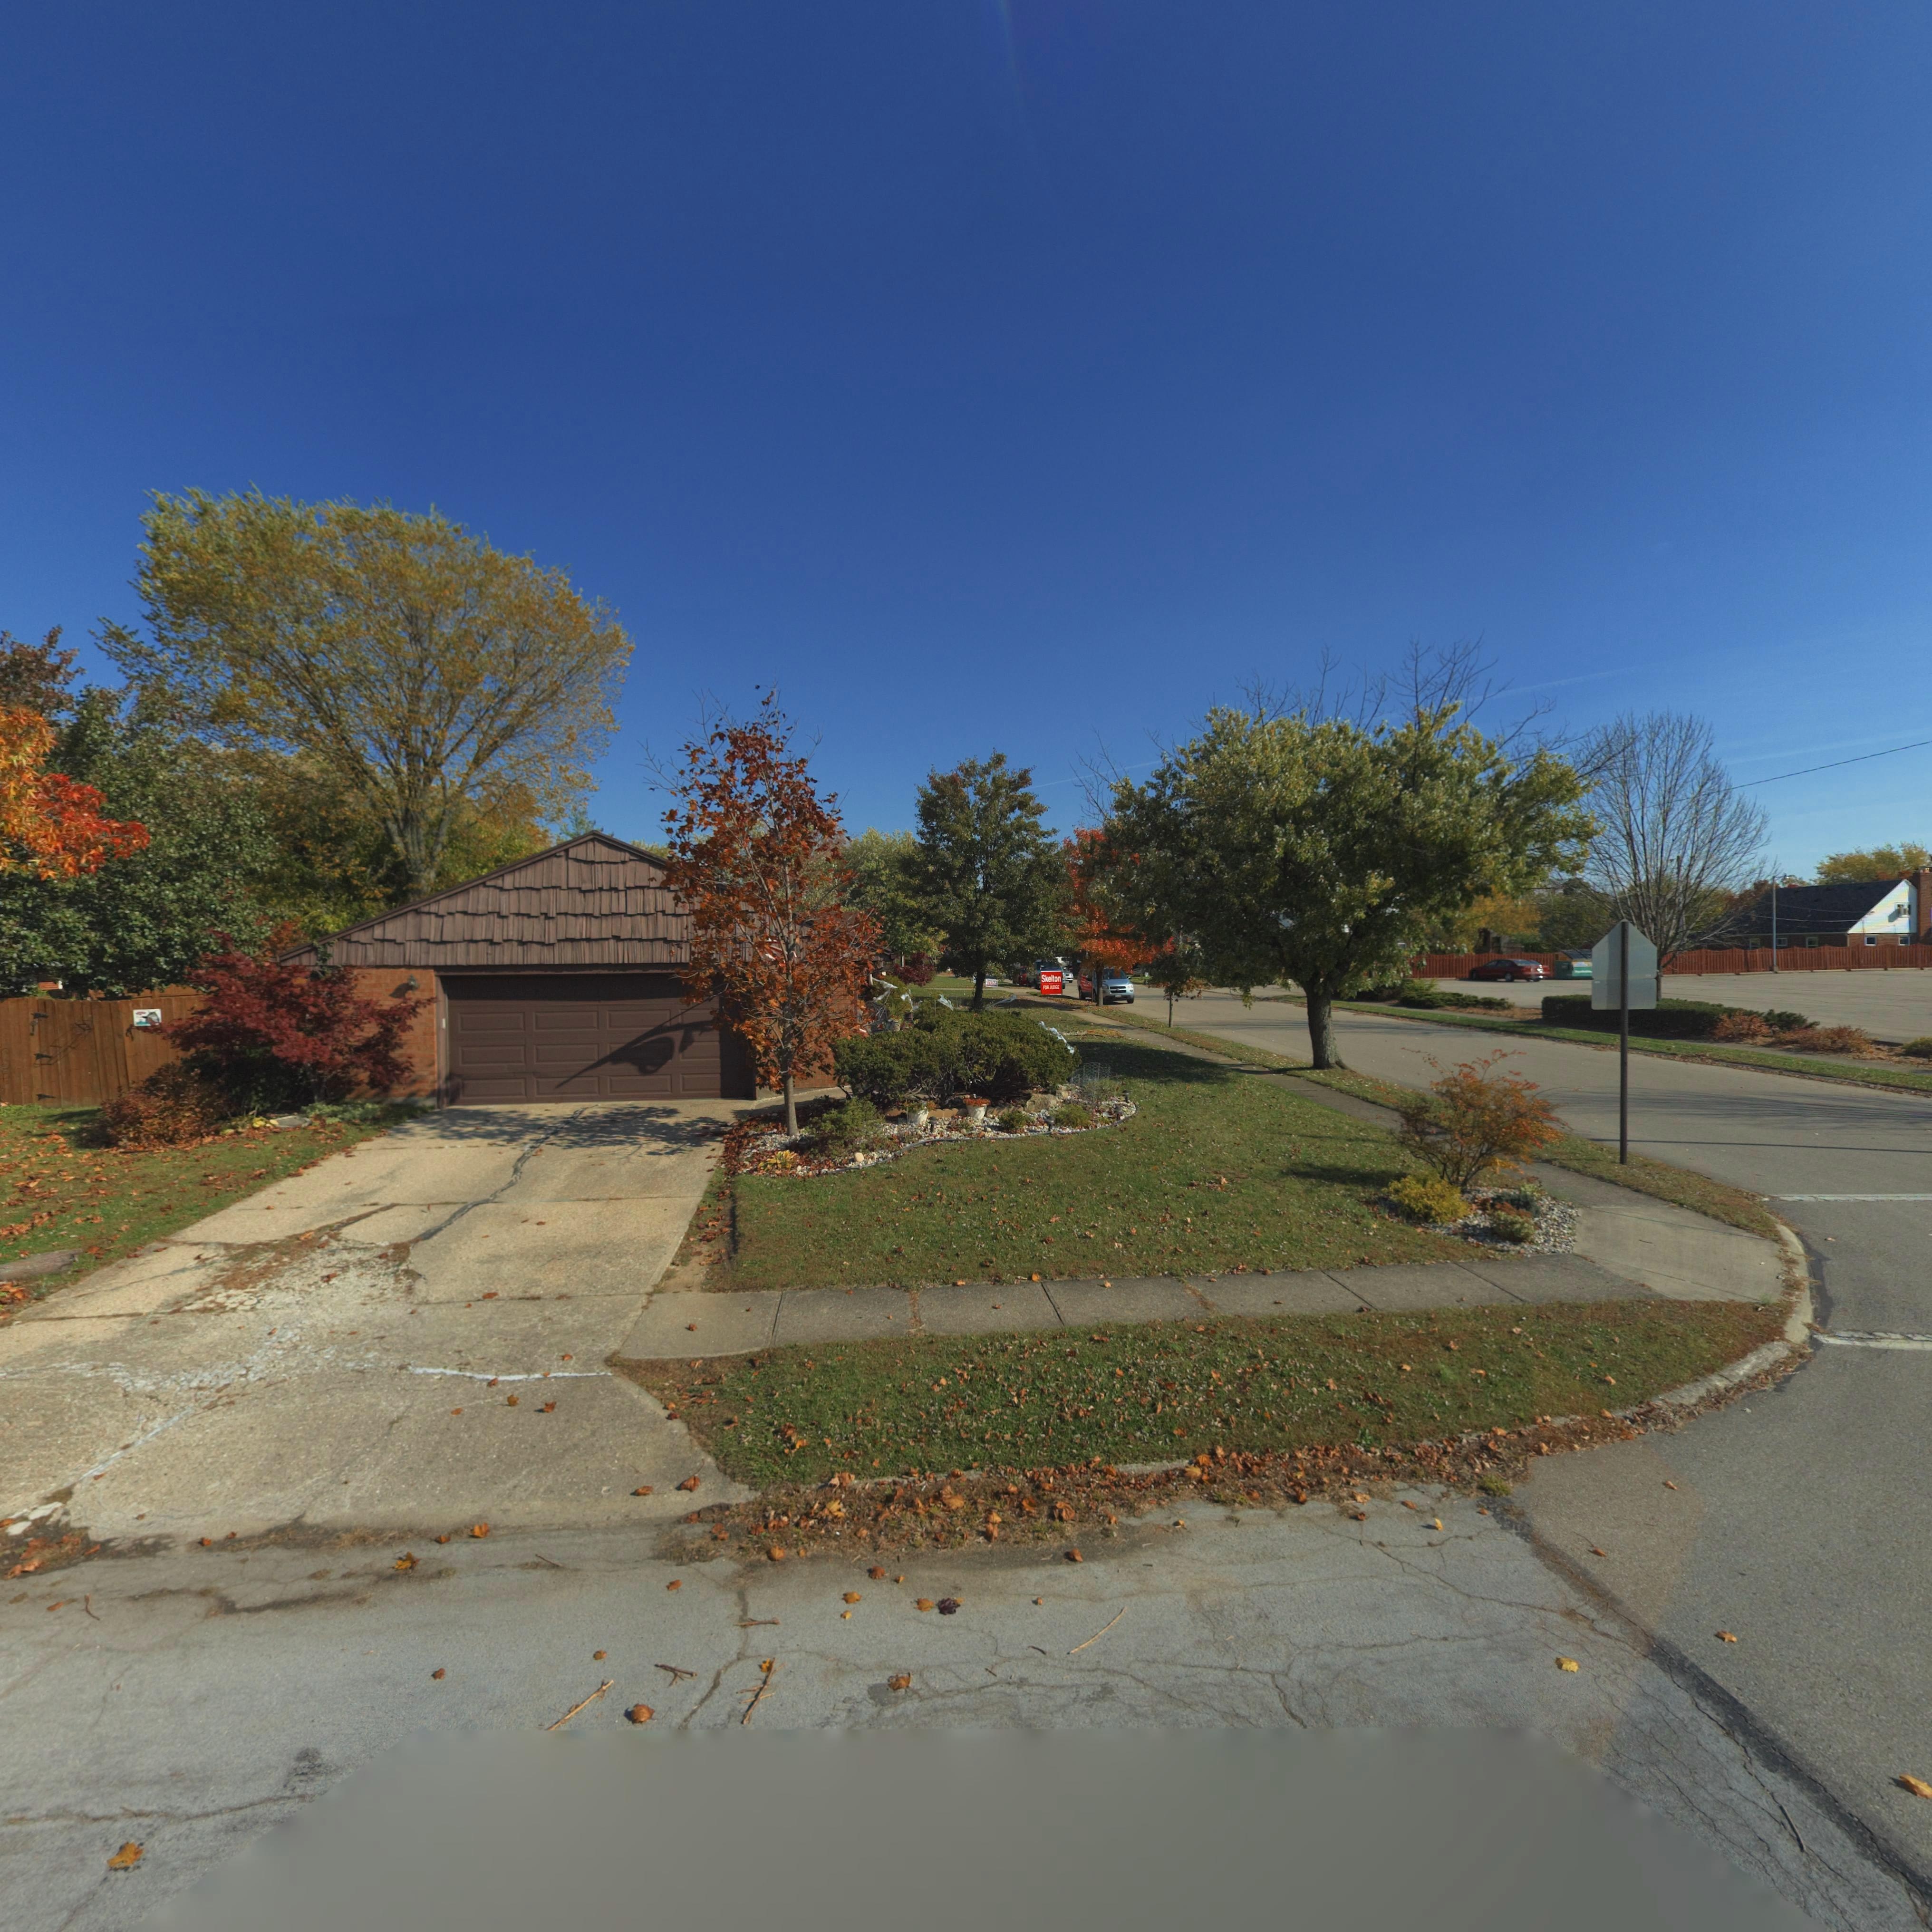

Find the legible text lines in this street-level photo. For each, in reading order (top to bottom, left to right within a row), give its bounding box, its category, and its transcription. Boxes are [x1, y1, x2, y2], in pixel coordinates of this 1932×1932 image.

[1041, 974, 1061, 983] None: Skelton
[1043, 985, 1060, 990] None: FOR JUDGE